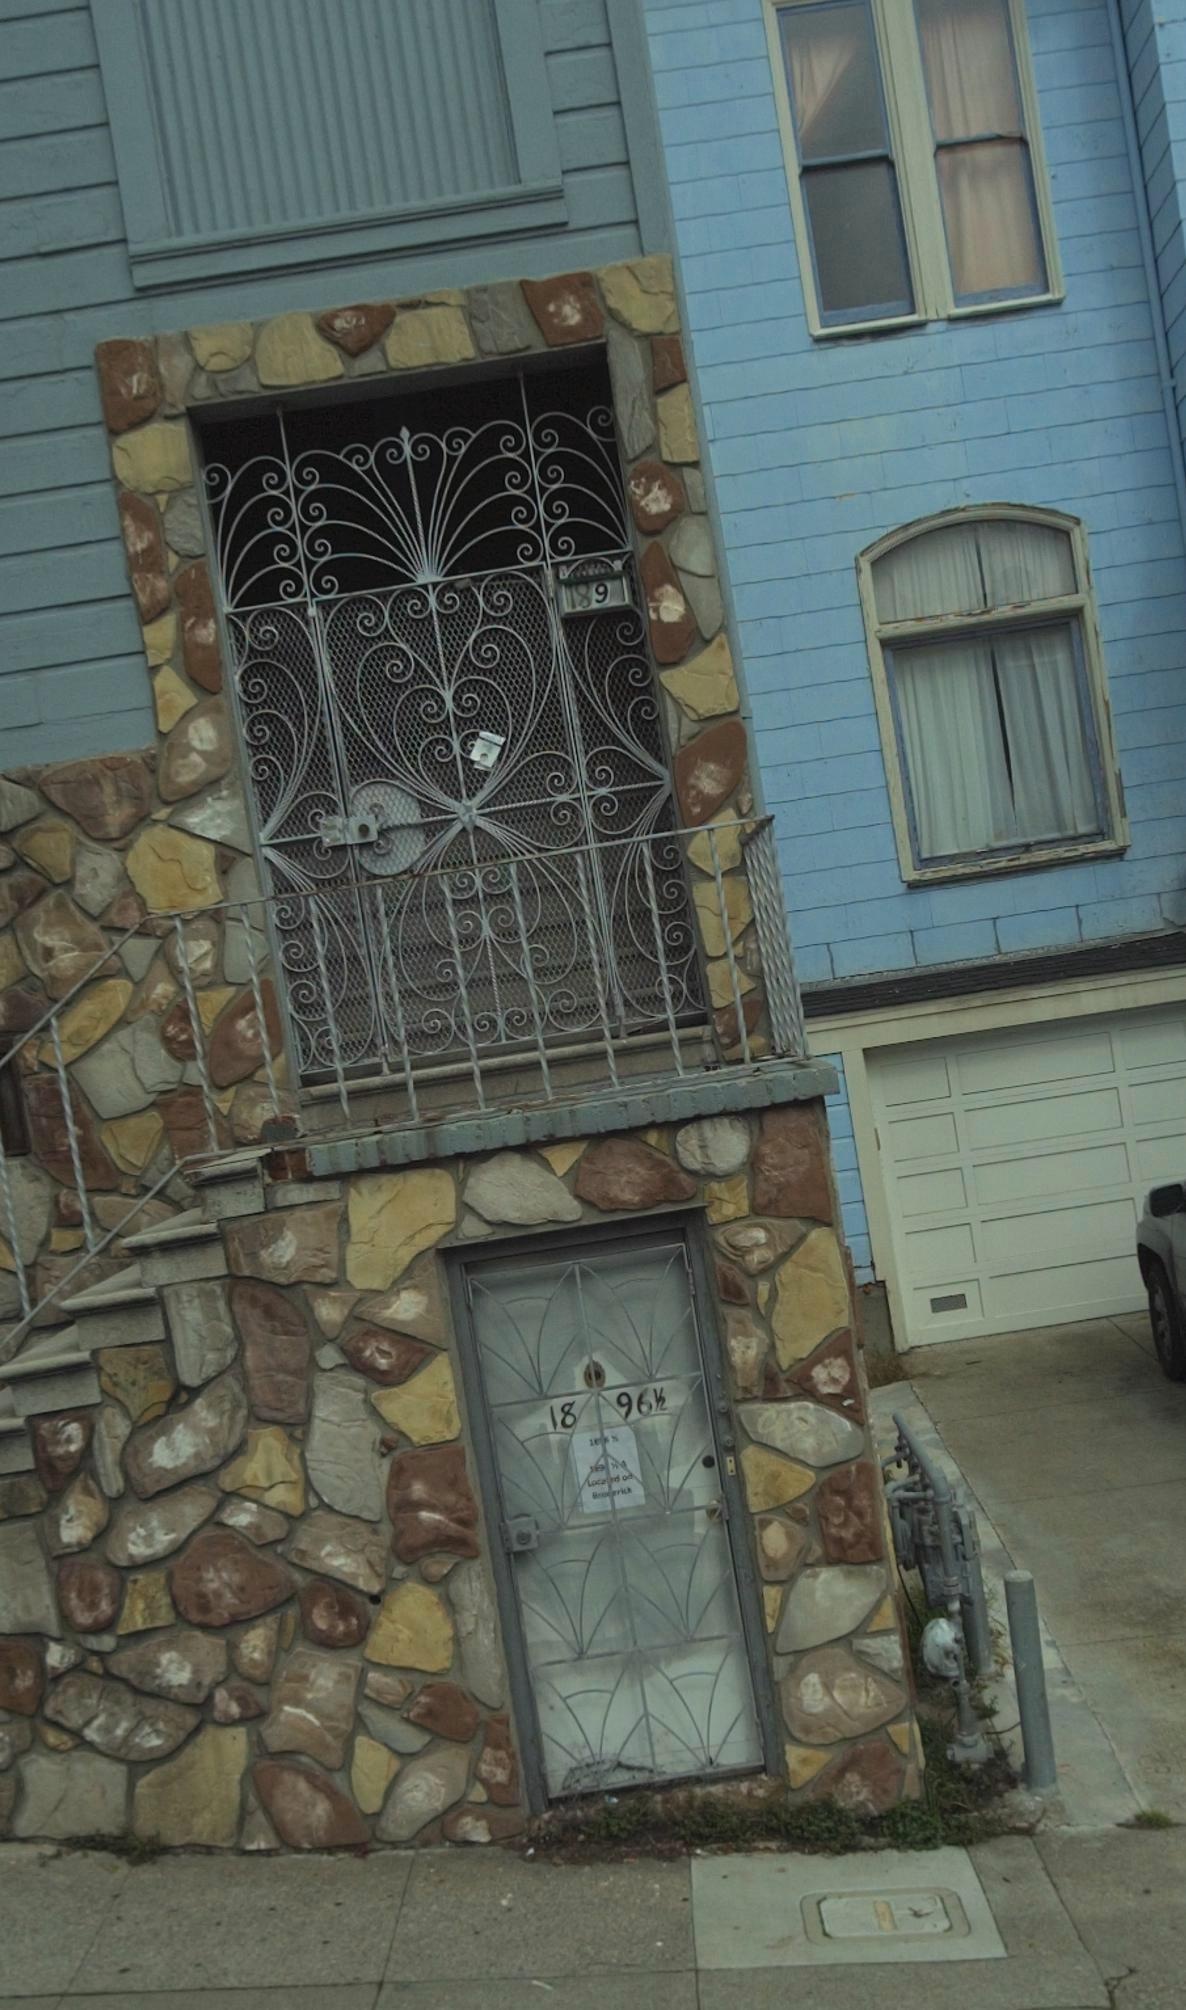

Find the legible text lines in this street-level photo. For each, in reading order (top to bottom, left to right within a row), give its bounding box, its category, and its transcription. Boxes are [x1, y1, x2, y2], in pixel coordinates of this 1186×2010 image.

[564, 578, 610, 611] StreetNumber: 189
[546, 1382, 671, 1434] StreetNumber: 18 96 1/2